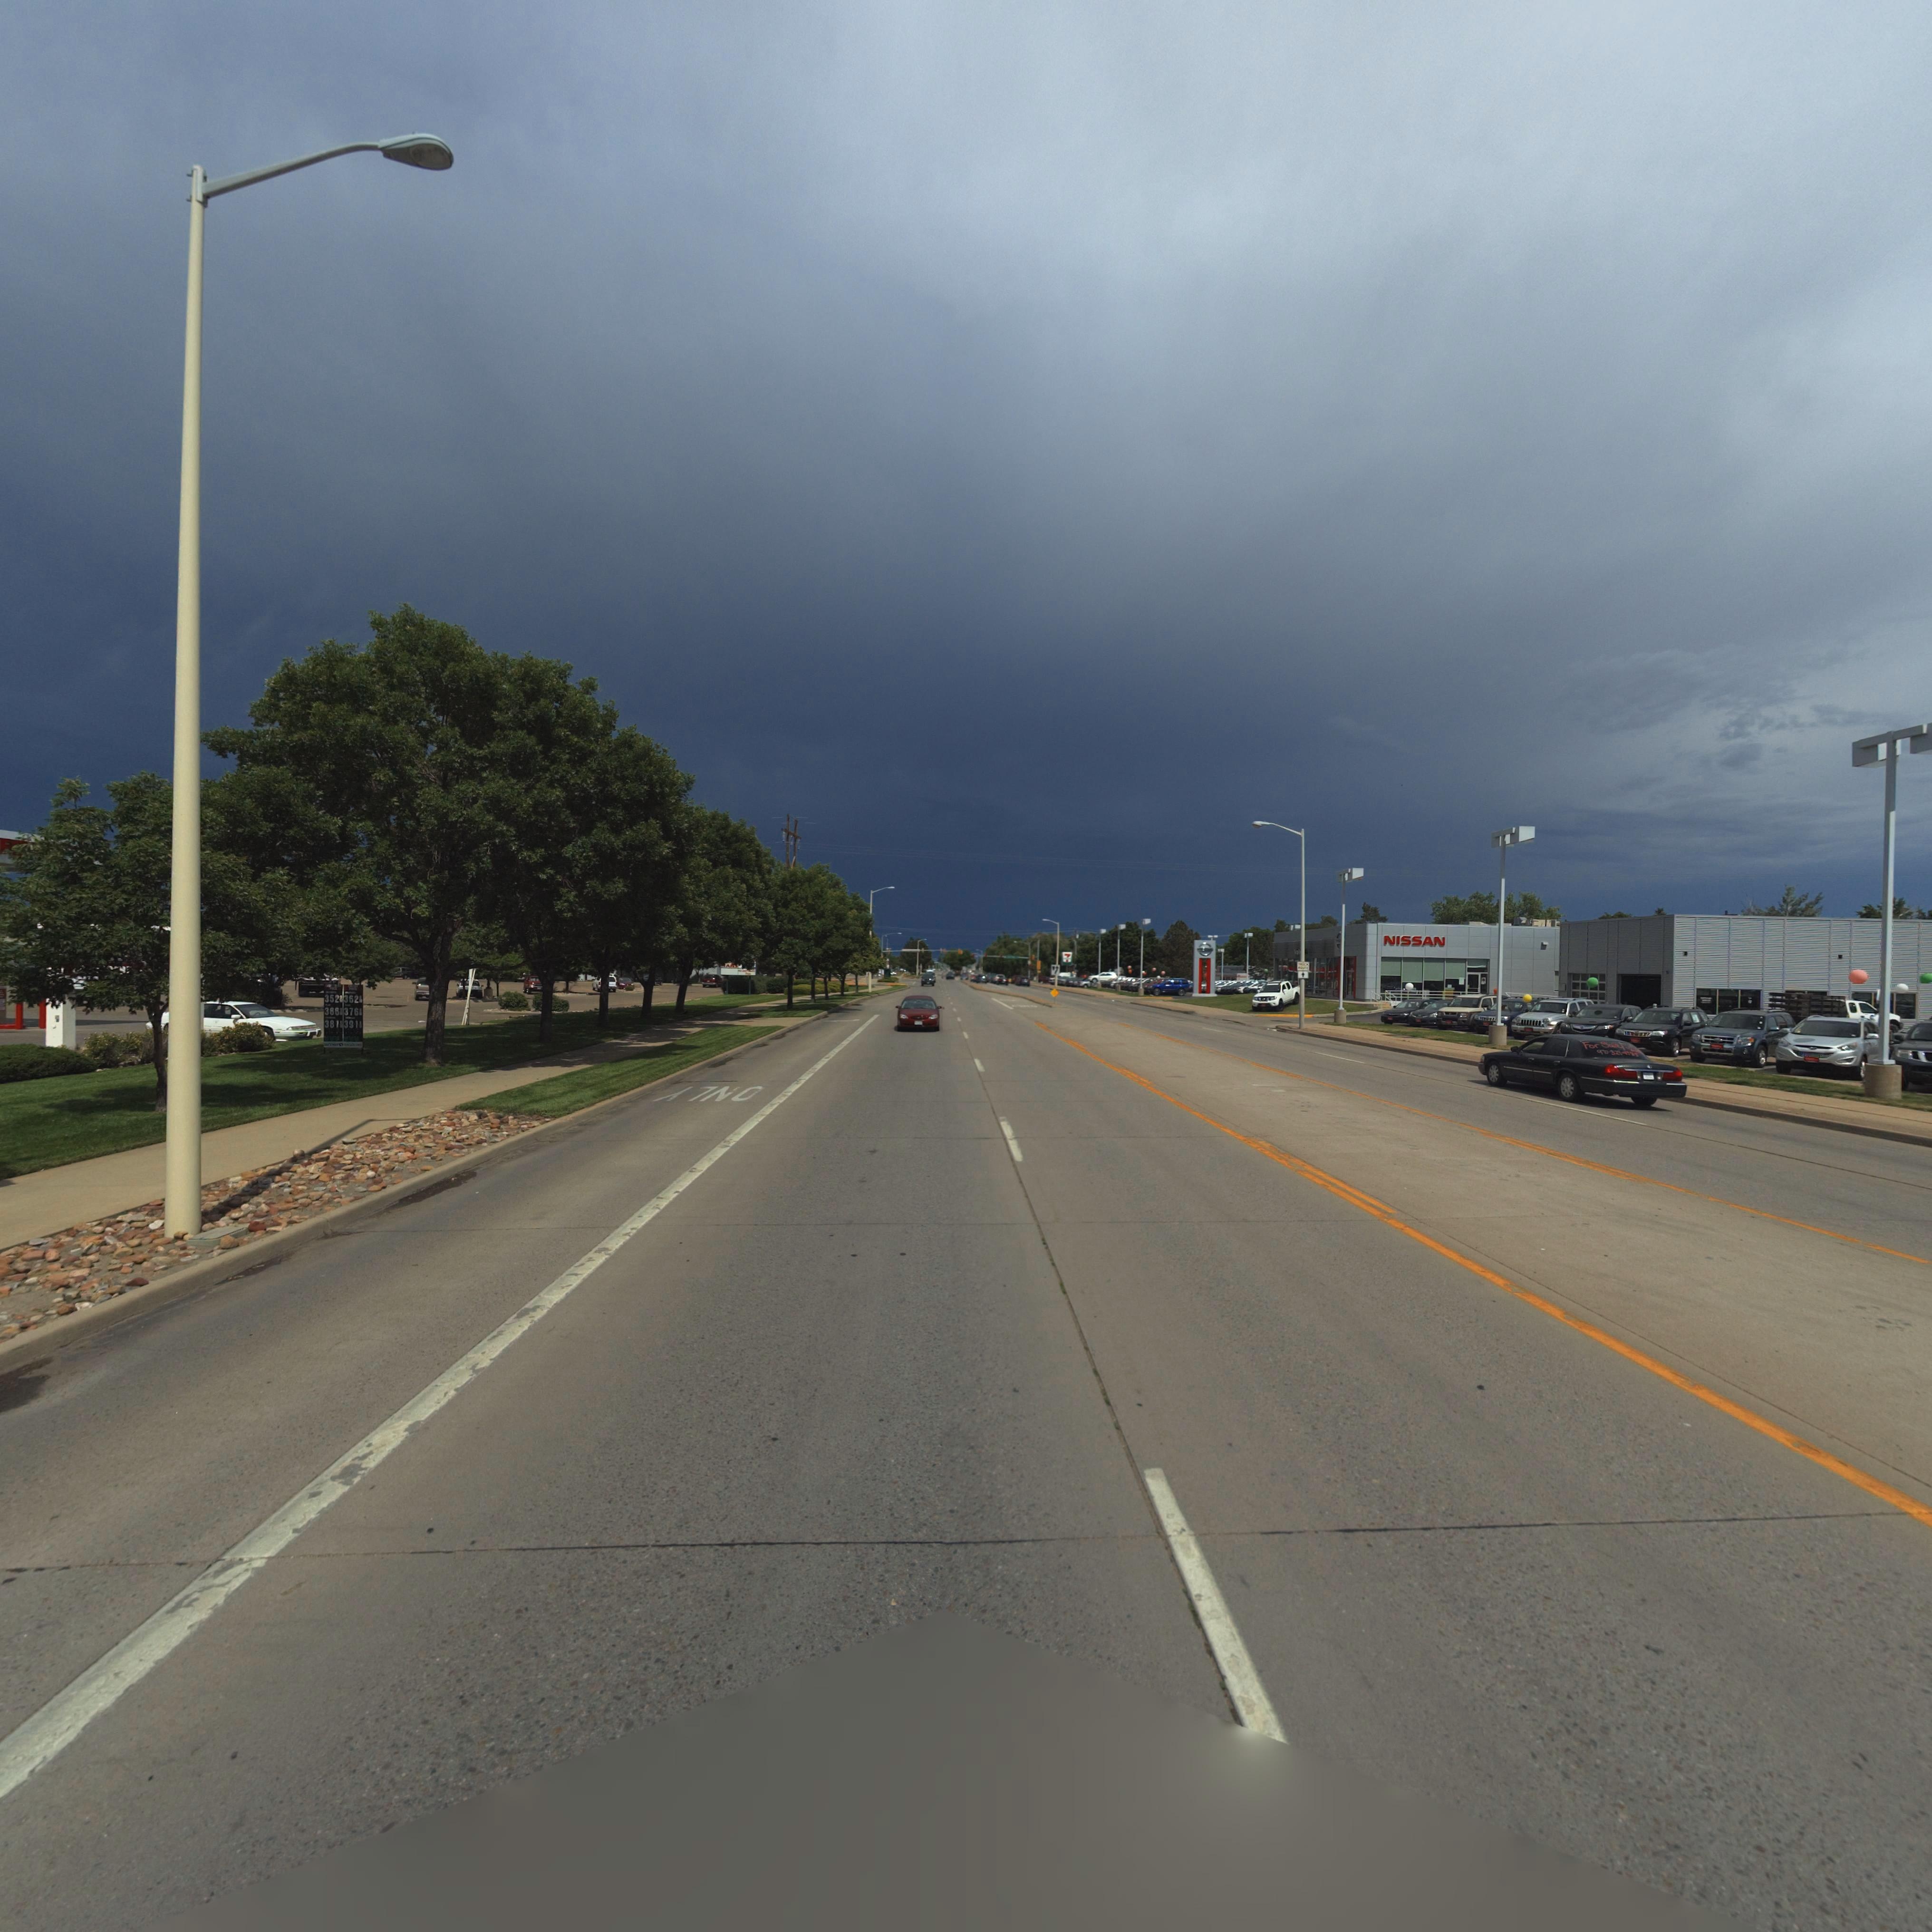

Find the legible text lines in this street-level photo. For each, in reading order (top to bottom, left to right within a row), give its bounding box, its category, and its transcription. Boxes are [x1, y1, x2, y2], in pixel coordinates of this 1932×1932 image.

[1383, 935, 1445, 946] BusinessName: NISSAN
[1294, 949, 1301, 954] BusinessName: Val*
[1064, 953, 1070, 962] BusinessName: 7
[725, 964, 732, 967] BusinessName: AI